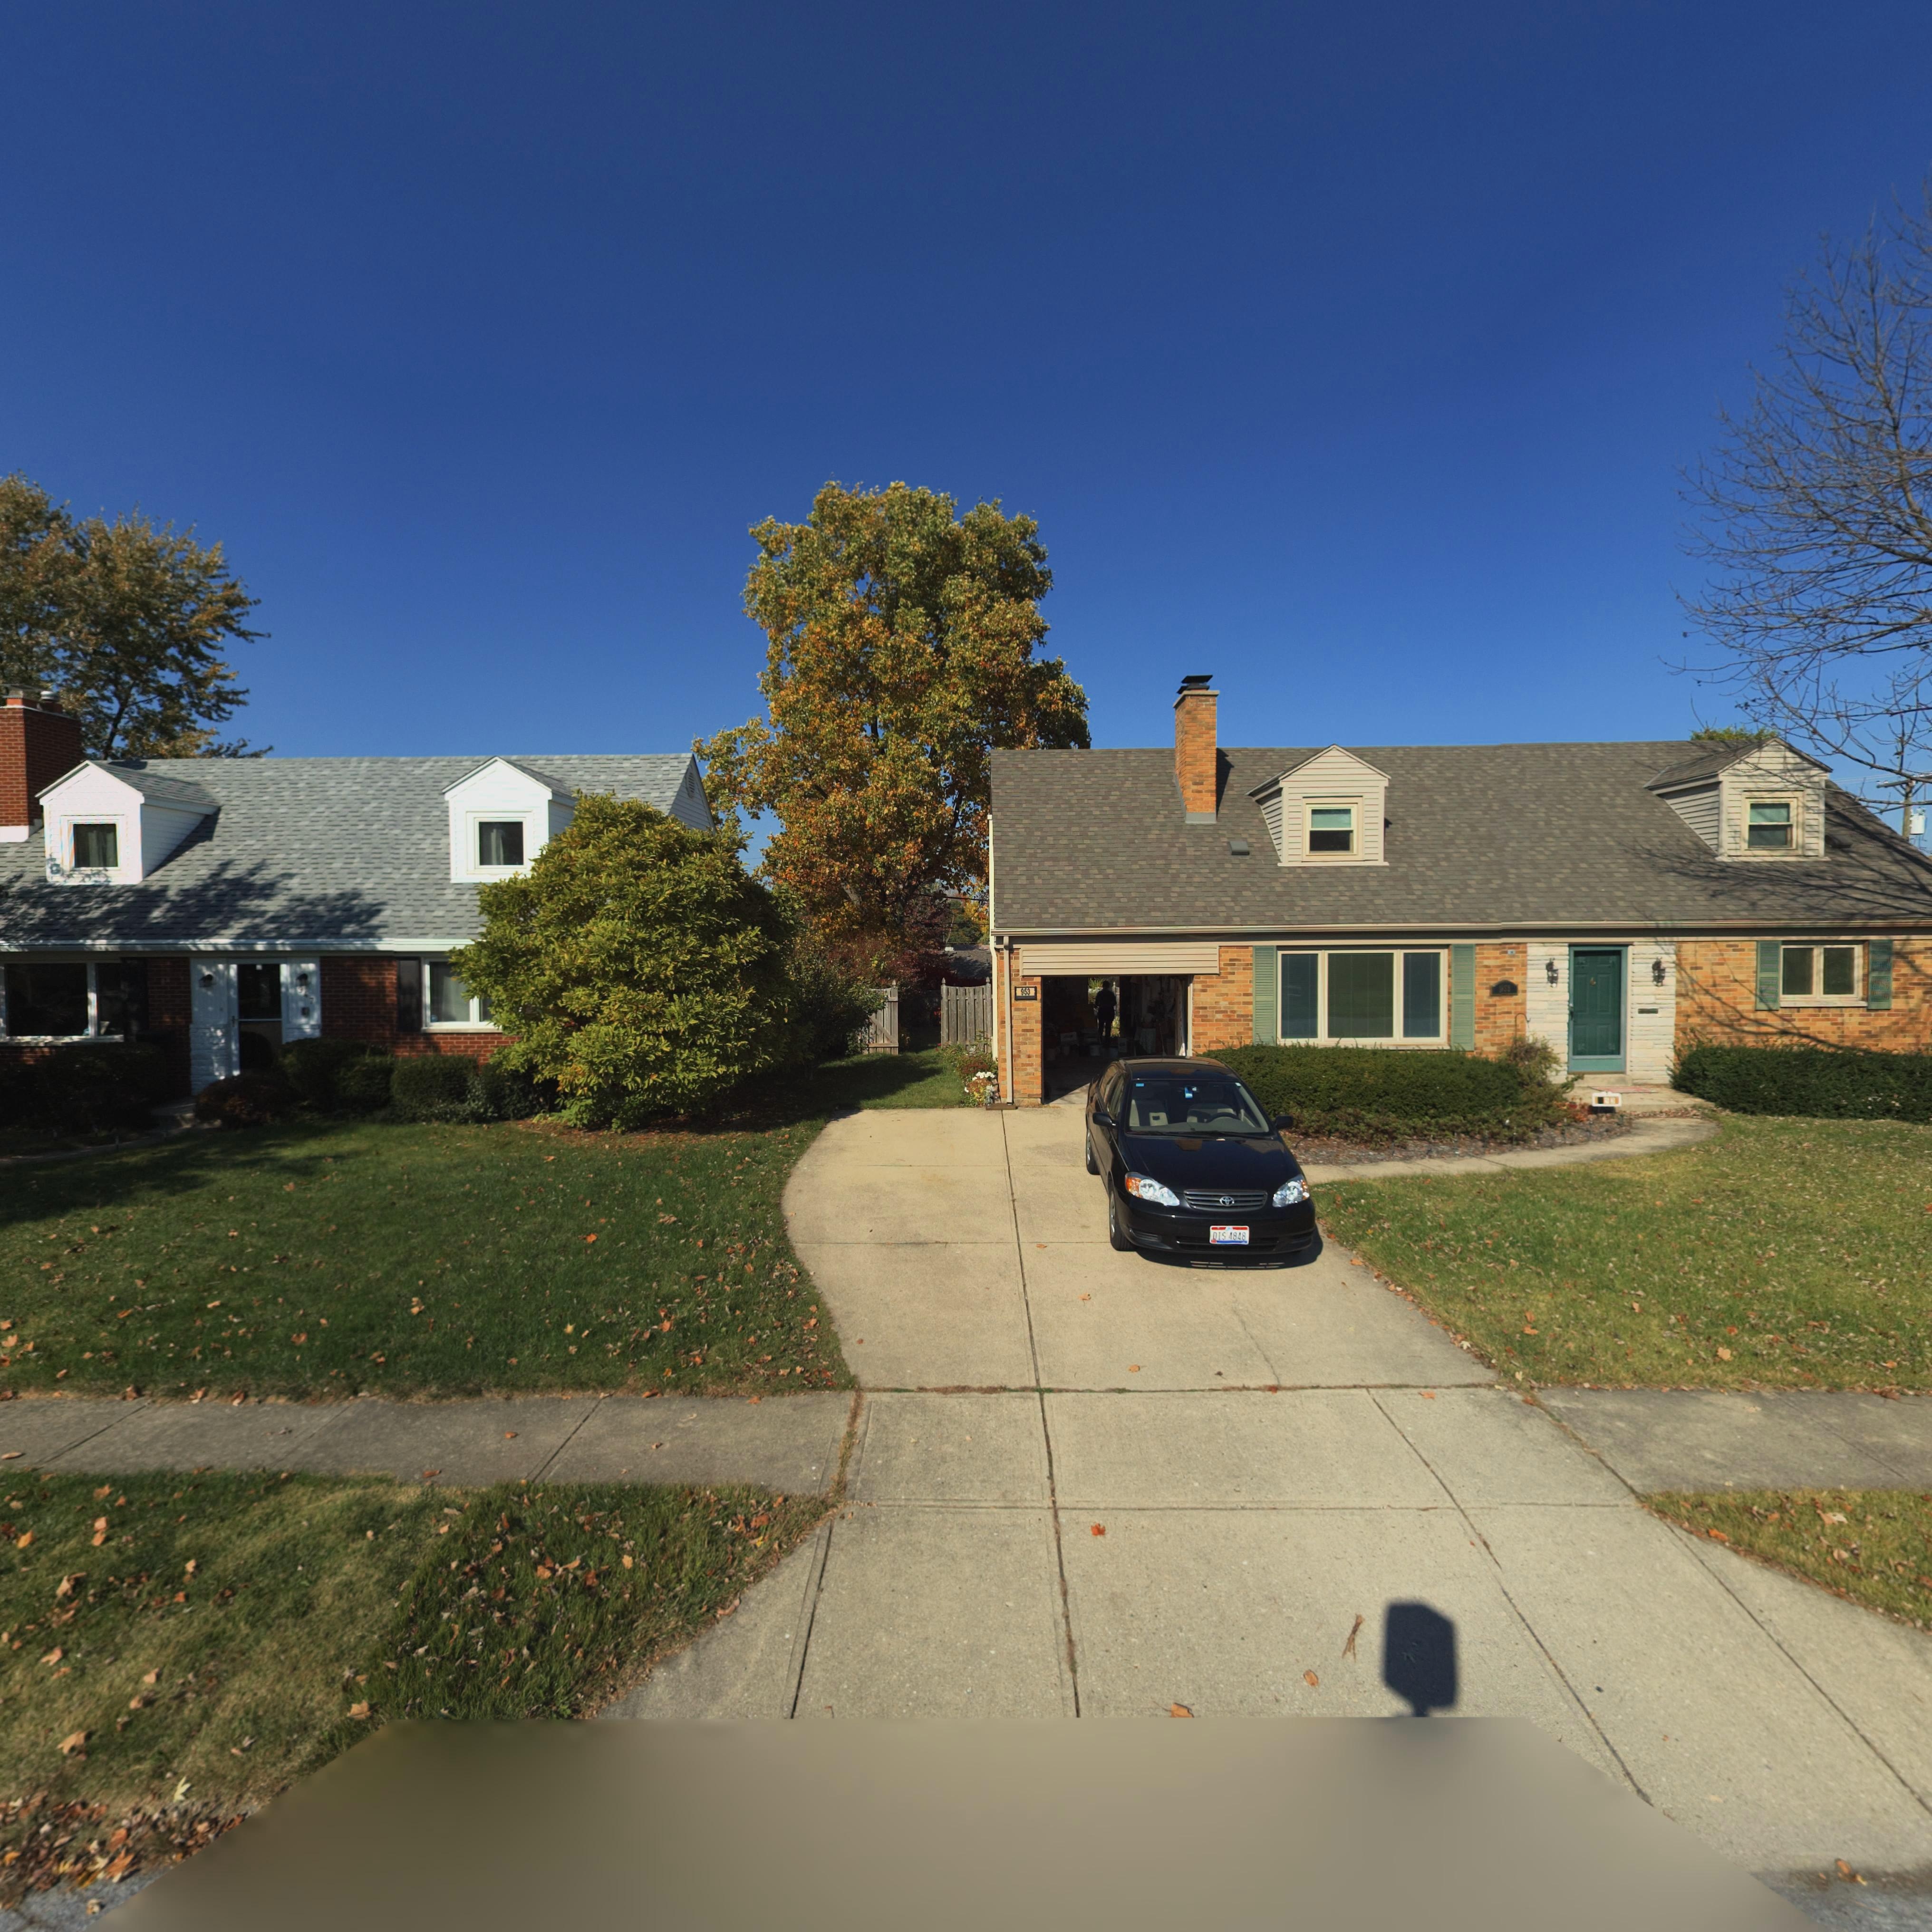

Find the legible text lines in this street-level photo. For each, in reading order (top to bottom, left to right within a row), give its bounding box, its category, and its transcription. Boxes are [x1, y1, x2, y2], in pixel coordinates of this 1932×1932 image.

[297, 986, 315, 1005] StreetNumber: 947
[1020, 988, 1031, 995] StreetNumber: 953
[1498, 984, 1511, 994] StreetNumber: *53
[1213, 1231, 1246, 1241] None: *IS*4848